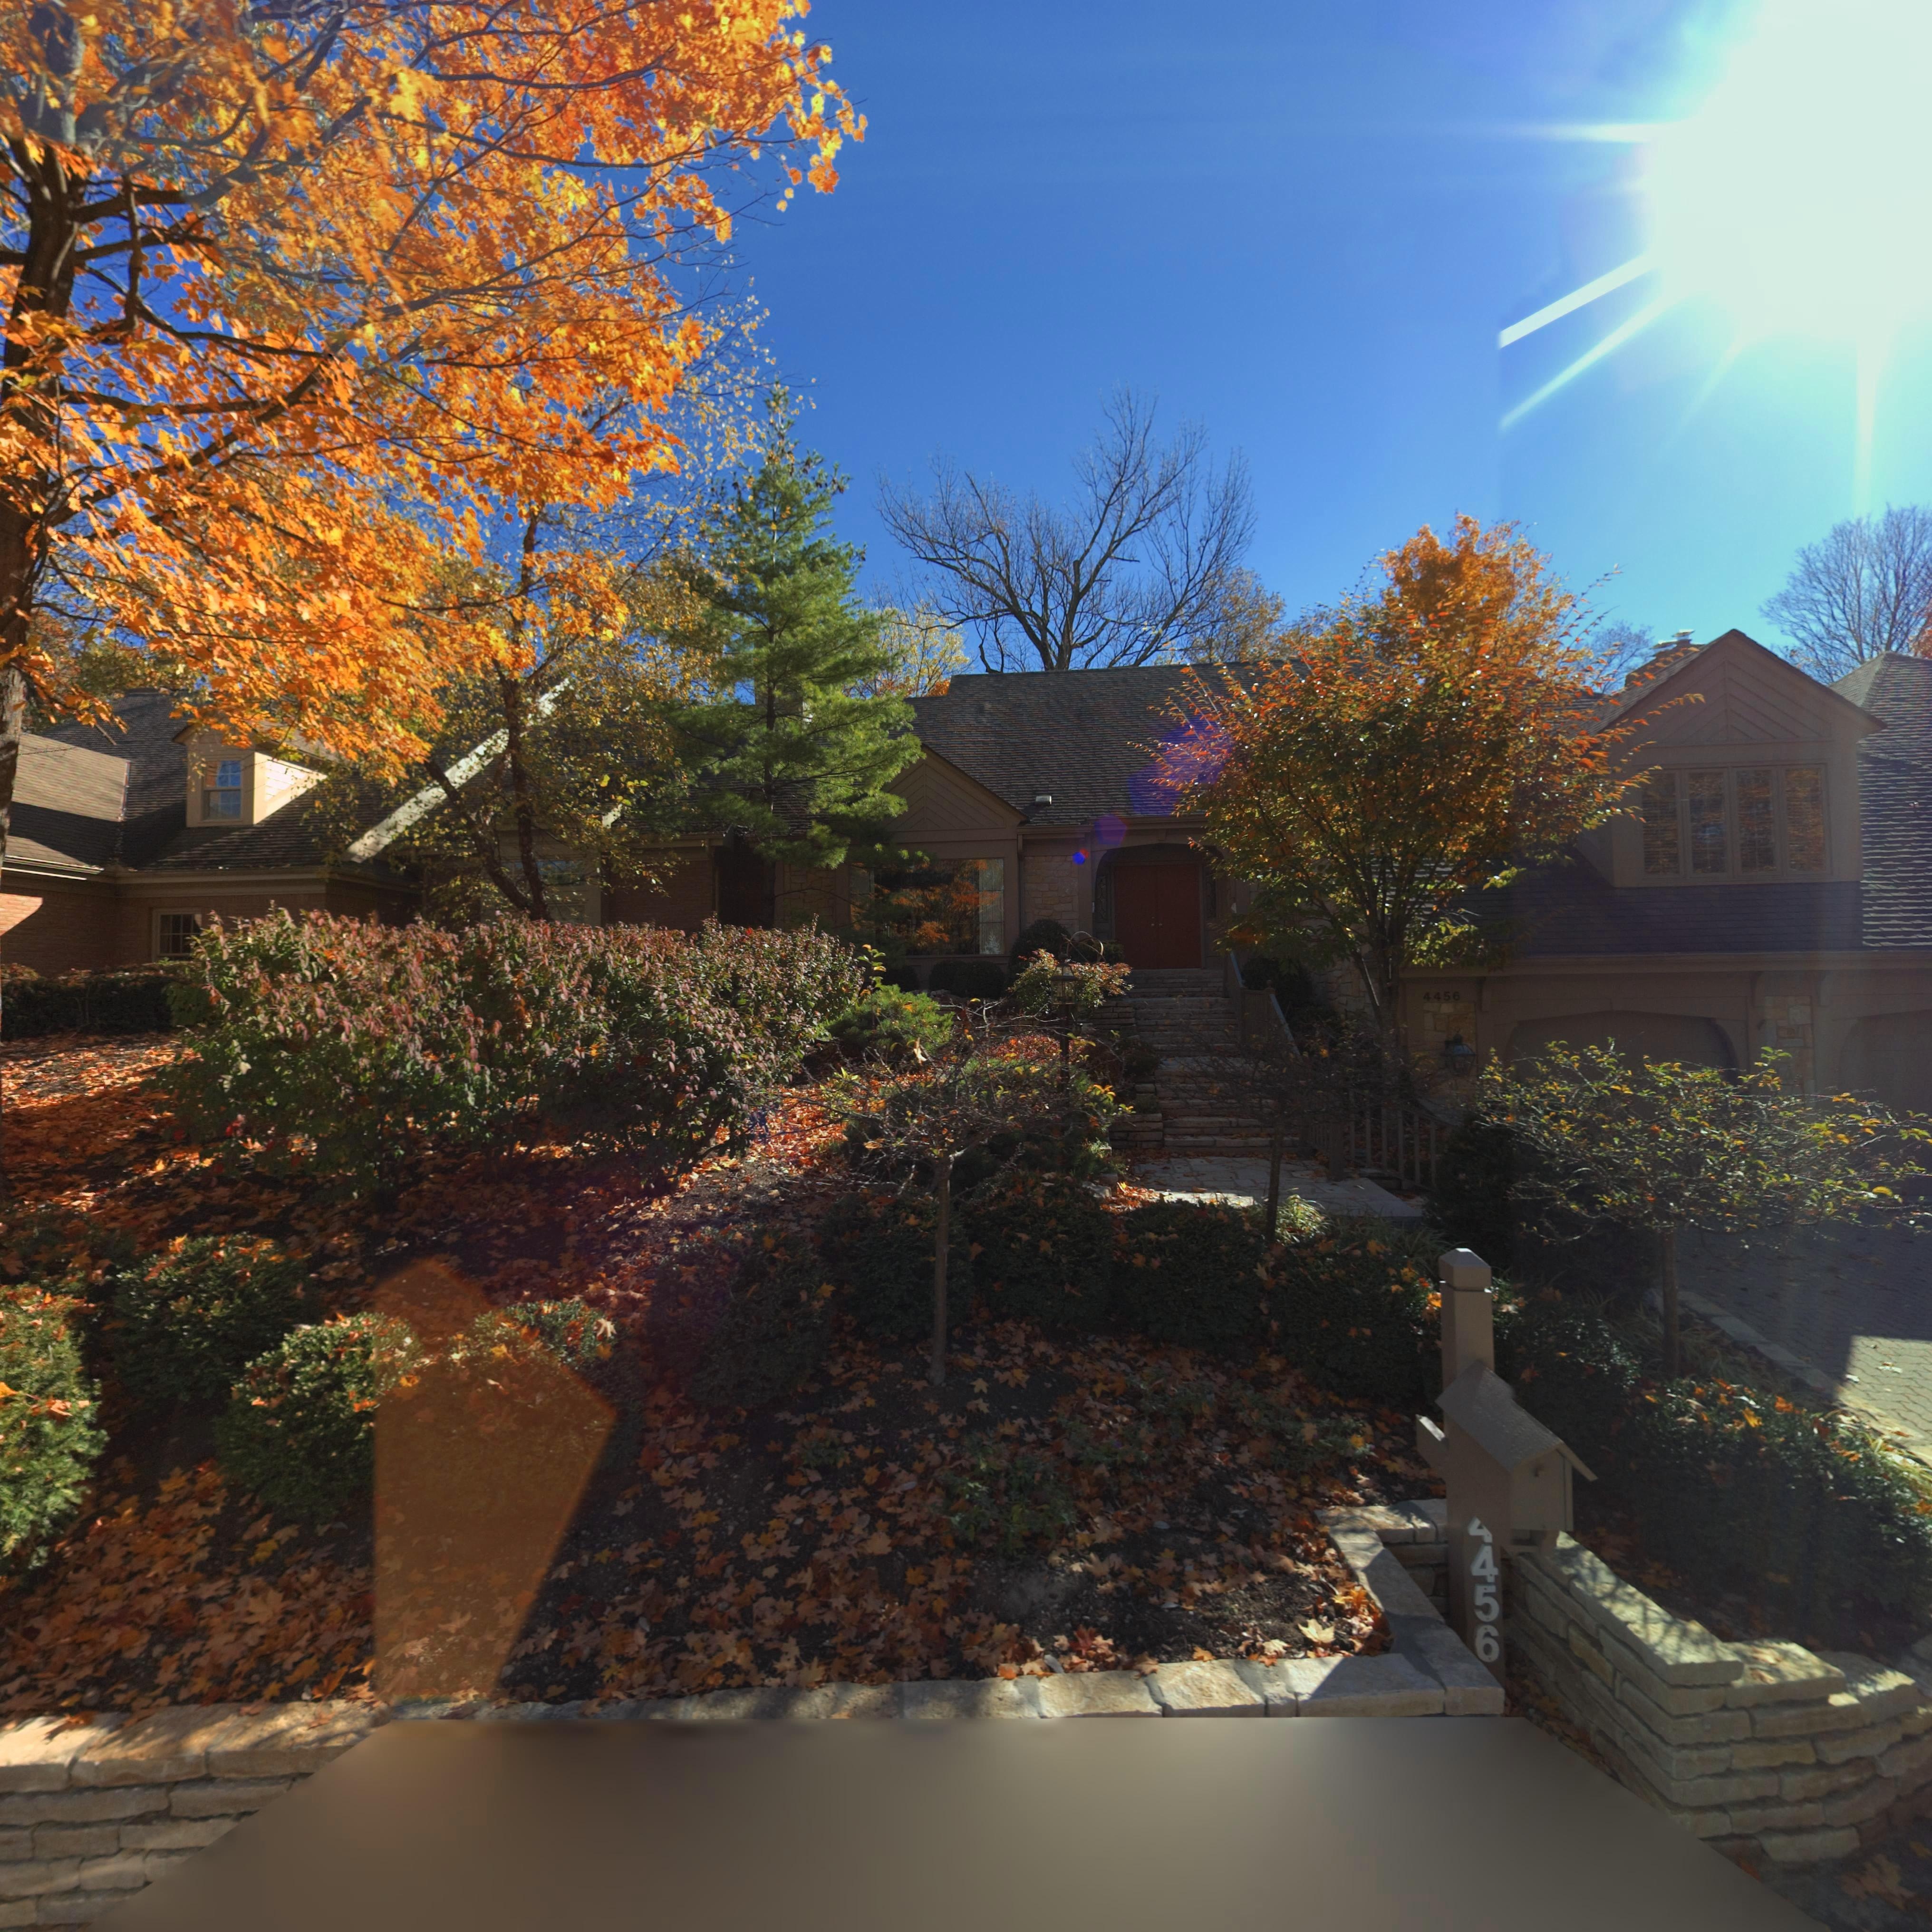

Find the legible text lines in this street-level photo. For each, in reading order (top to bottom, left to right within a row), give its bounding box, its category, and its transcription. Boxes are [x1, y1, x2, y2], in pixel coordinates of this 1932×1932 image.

[1422, 990, 1462, 1003] StreetNumber: 4456
[1468, 1541, 1503, 1665] StreetNumber: 456